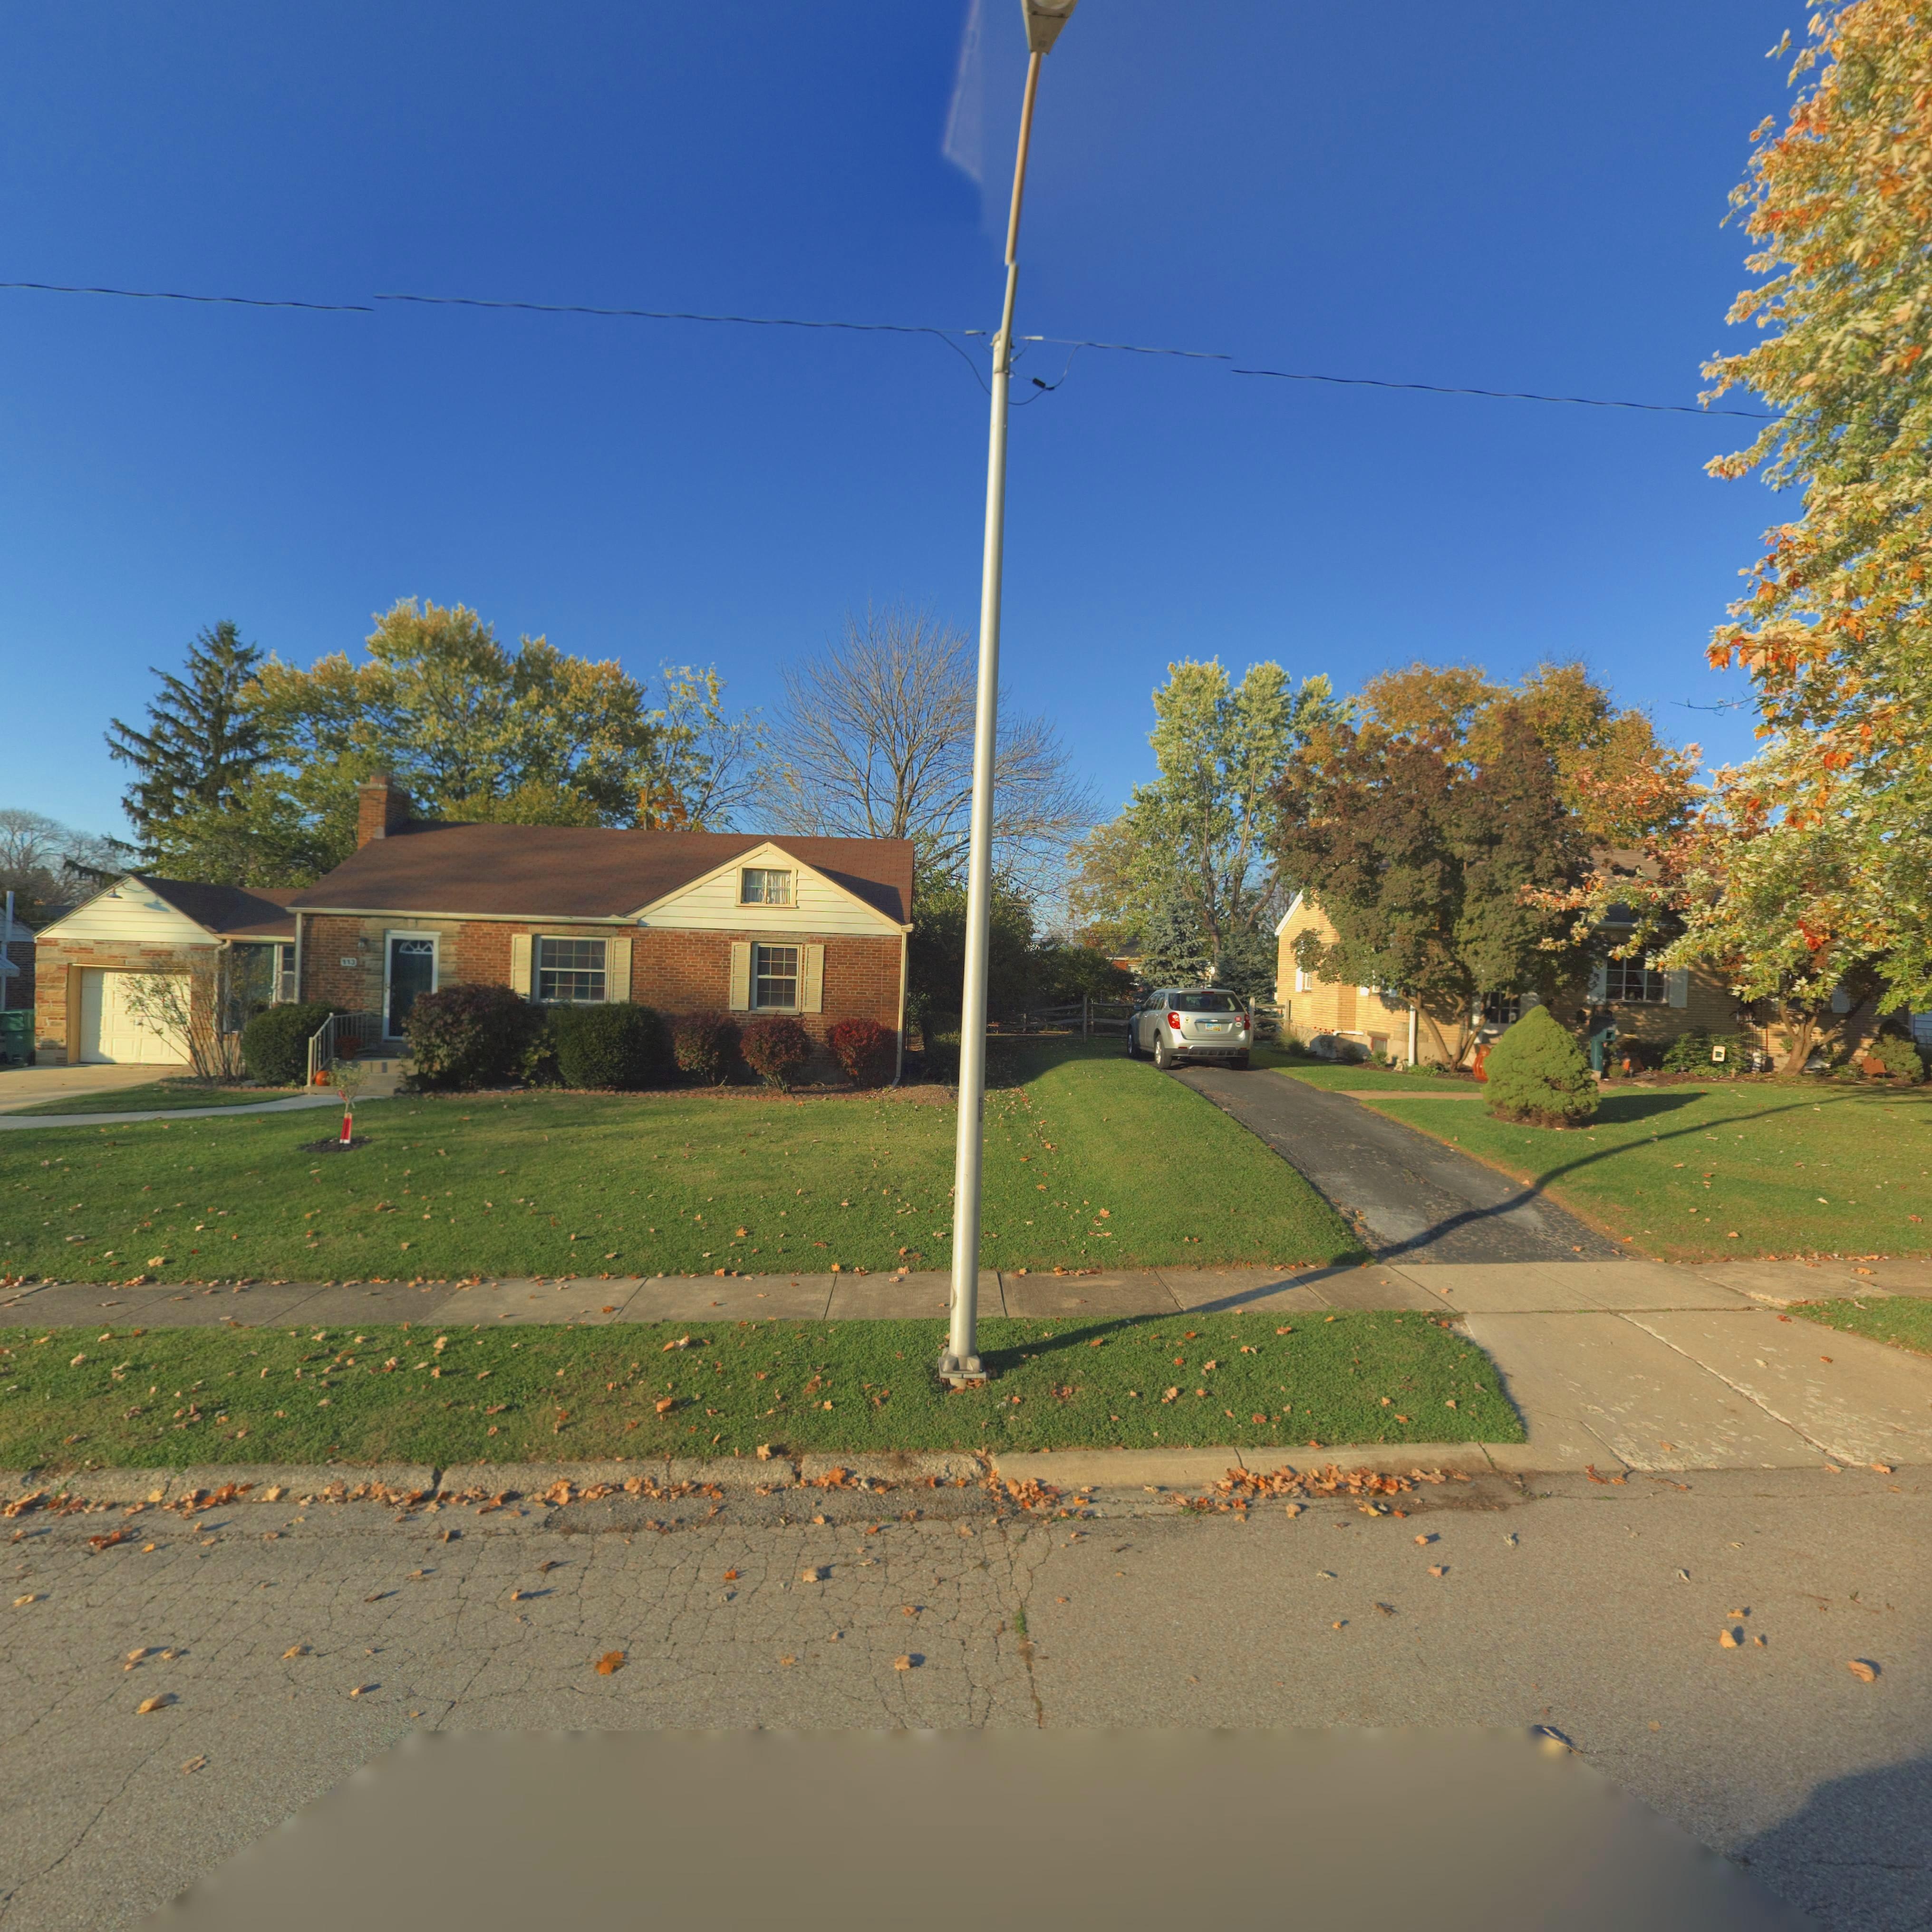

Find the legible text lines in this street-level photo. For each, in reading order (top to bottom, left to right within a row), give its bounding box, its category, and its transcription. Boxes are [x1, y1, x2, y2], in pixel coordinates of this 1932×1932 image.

[342, 959, 356, 966] StreetNumber: 113